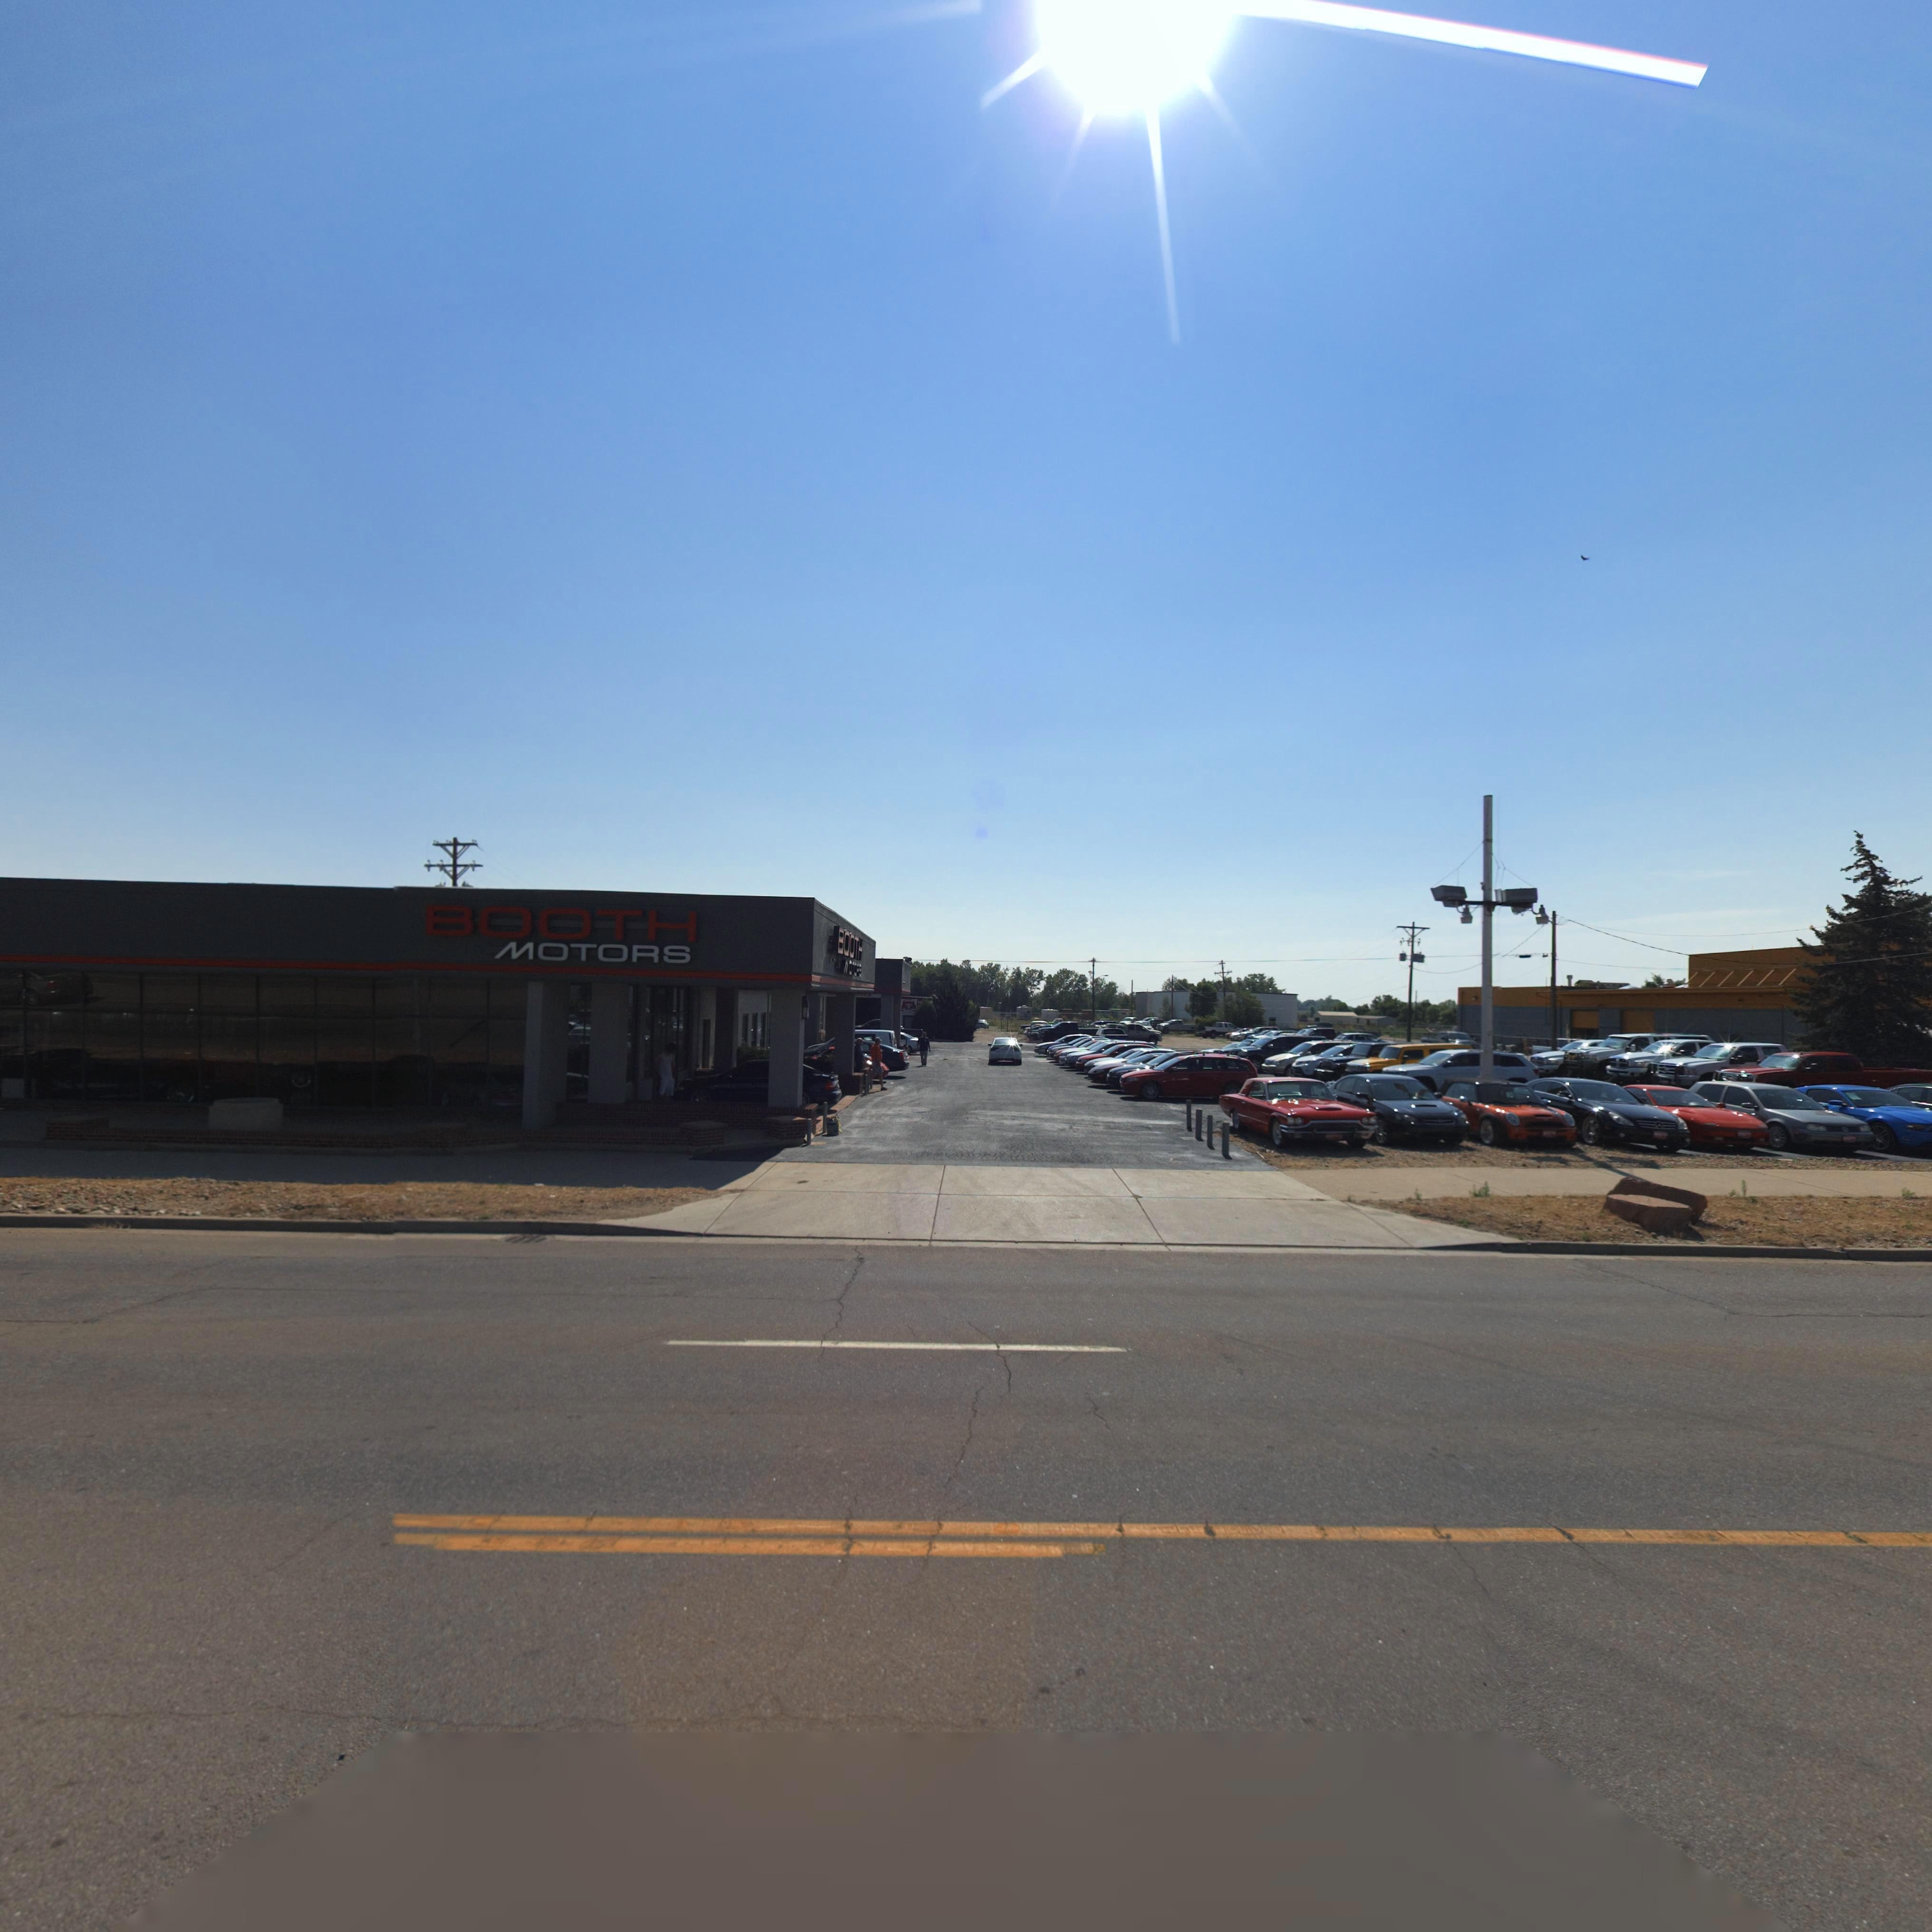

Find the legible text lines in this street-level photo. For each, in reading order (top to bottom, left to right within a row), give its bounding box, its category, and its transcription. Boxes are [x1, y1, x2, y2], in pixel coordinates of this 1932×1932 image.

[425, 904, 697, 943] BusinessName: BOOTH
[493, 941, 692, 965] BusinessName: MOTORS
[836, 925, 863, 961] BusinessName: BOOTH
[842, 959, 862, 977] BusinessName: MO*O**